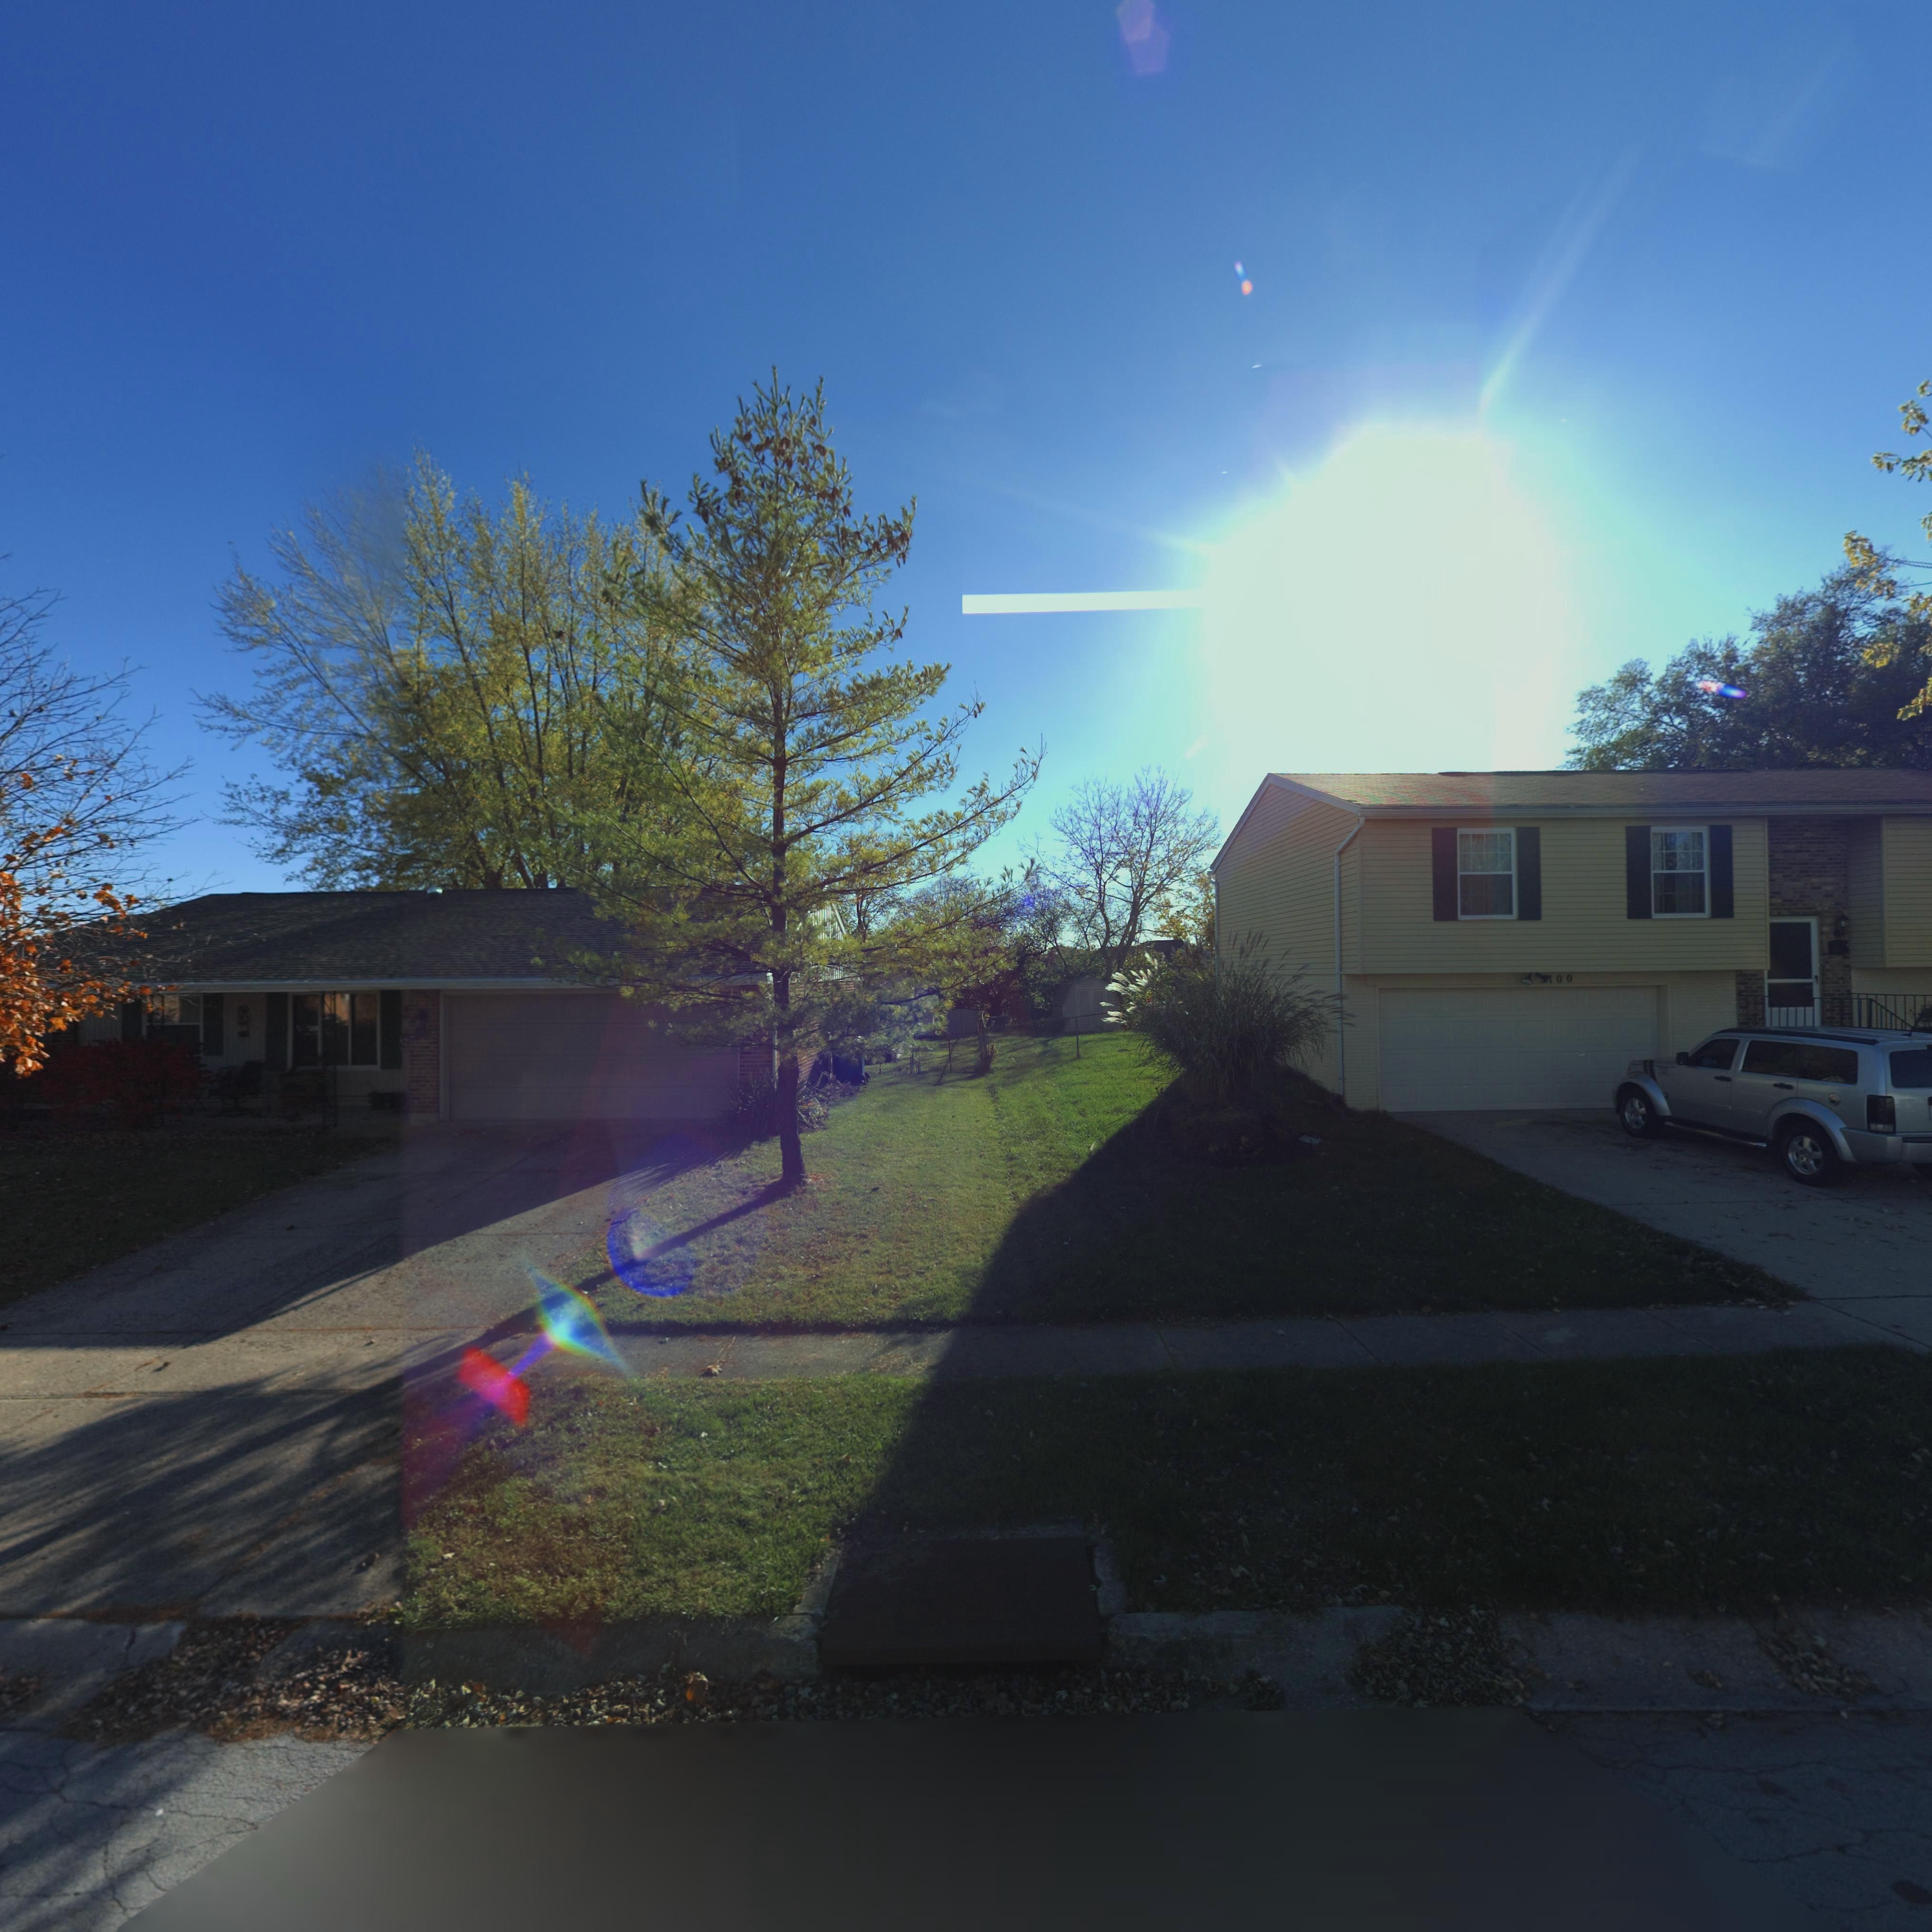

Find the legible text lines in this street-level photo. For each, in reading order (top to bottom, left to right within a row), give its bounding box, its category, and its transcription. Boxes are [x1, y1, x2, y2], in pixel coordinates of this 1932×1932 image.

[1548, 974, 1573, 984] StreetNumber: 100